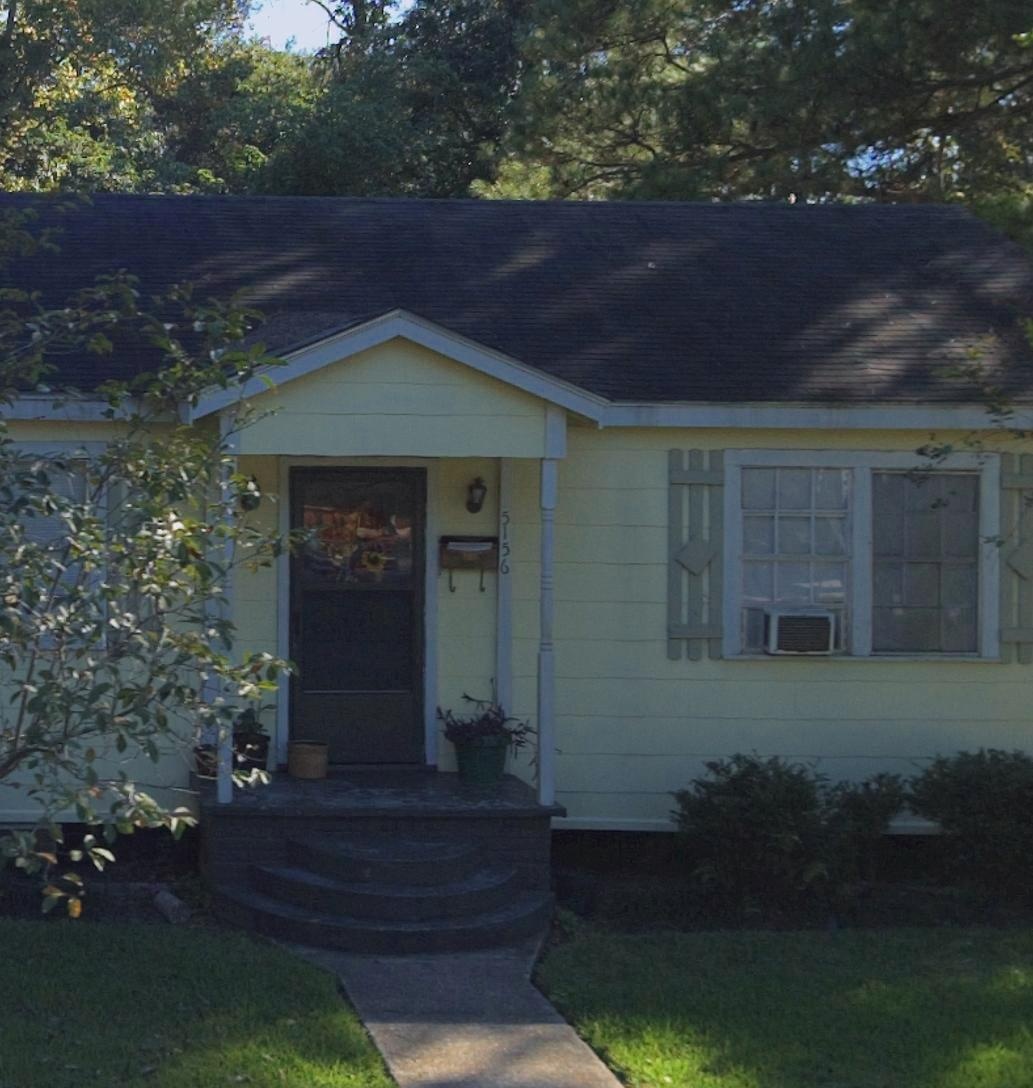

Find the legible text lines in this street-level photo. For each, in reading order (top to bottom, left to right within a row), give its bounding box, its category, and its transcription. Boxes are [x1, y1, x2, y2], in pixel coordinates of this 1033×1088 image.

[500, 508, 512, 576] StreetNumber: 5156